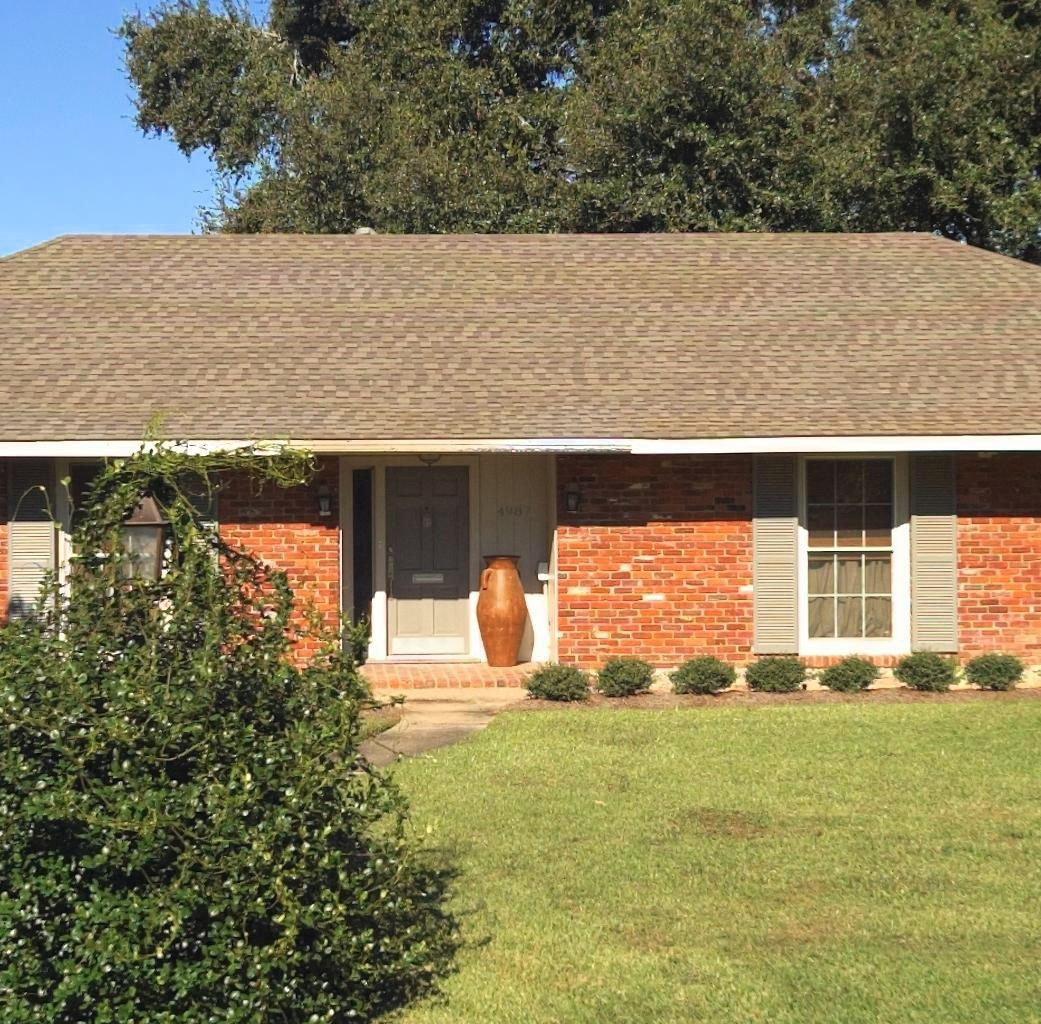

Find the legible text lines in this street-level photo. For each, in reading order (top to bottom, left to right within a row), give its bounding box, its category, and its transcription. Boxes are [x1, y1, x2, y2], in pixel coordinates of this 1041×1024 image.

[496, 504, 532, 519] StreetNumber: 4987